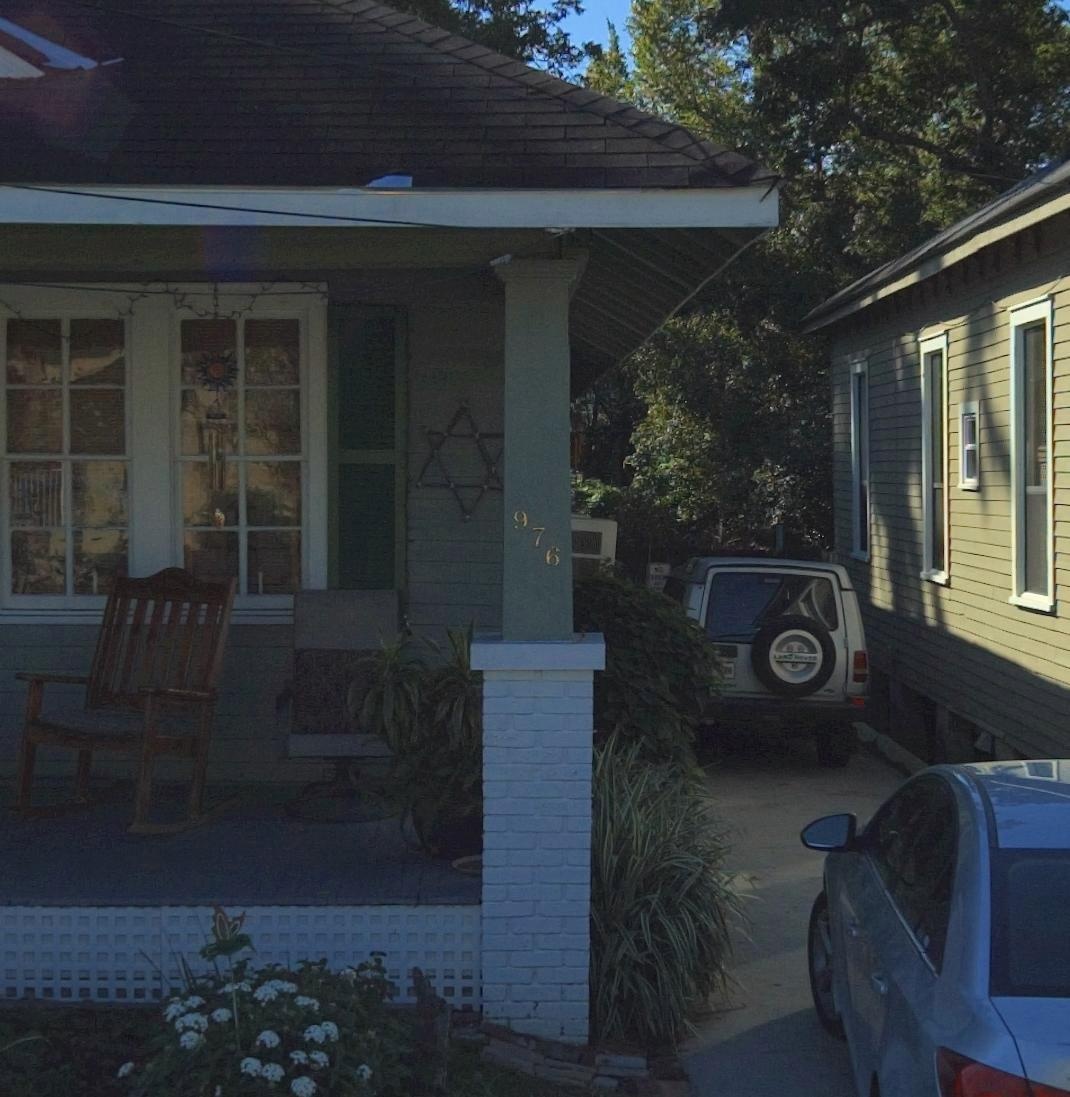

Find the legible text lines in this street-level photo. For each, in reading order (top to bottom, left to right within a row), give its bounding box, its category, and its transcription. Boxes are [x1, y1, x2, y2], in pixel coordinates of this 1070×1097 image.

[510, 506, 566, 576] StreetNumber: 976